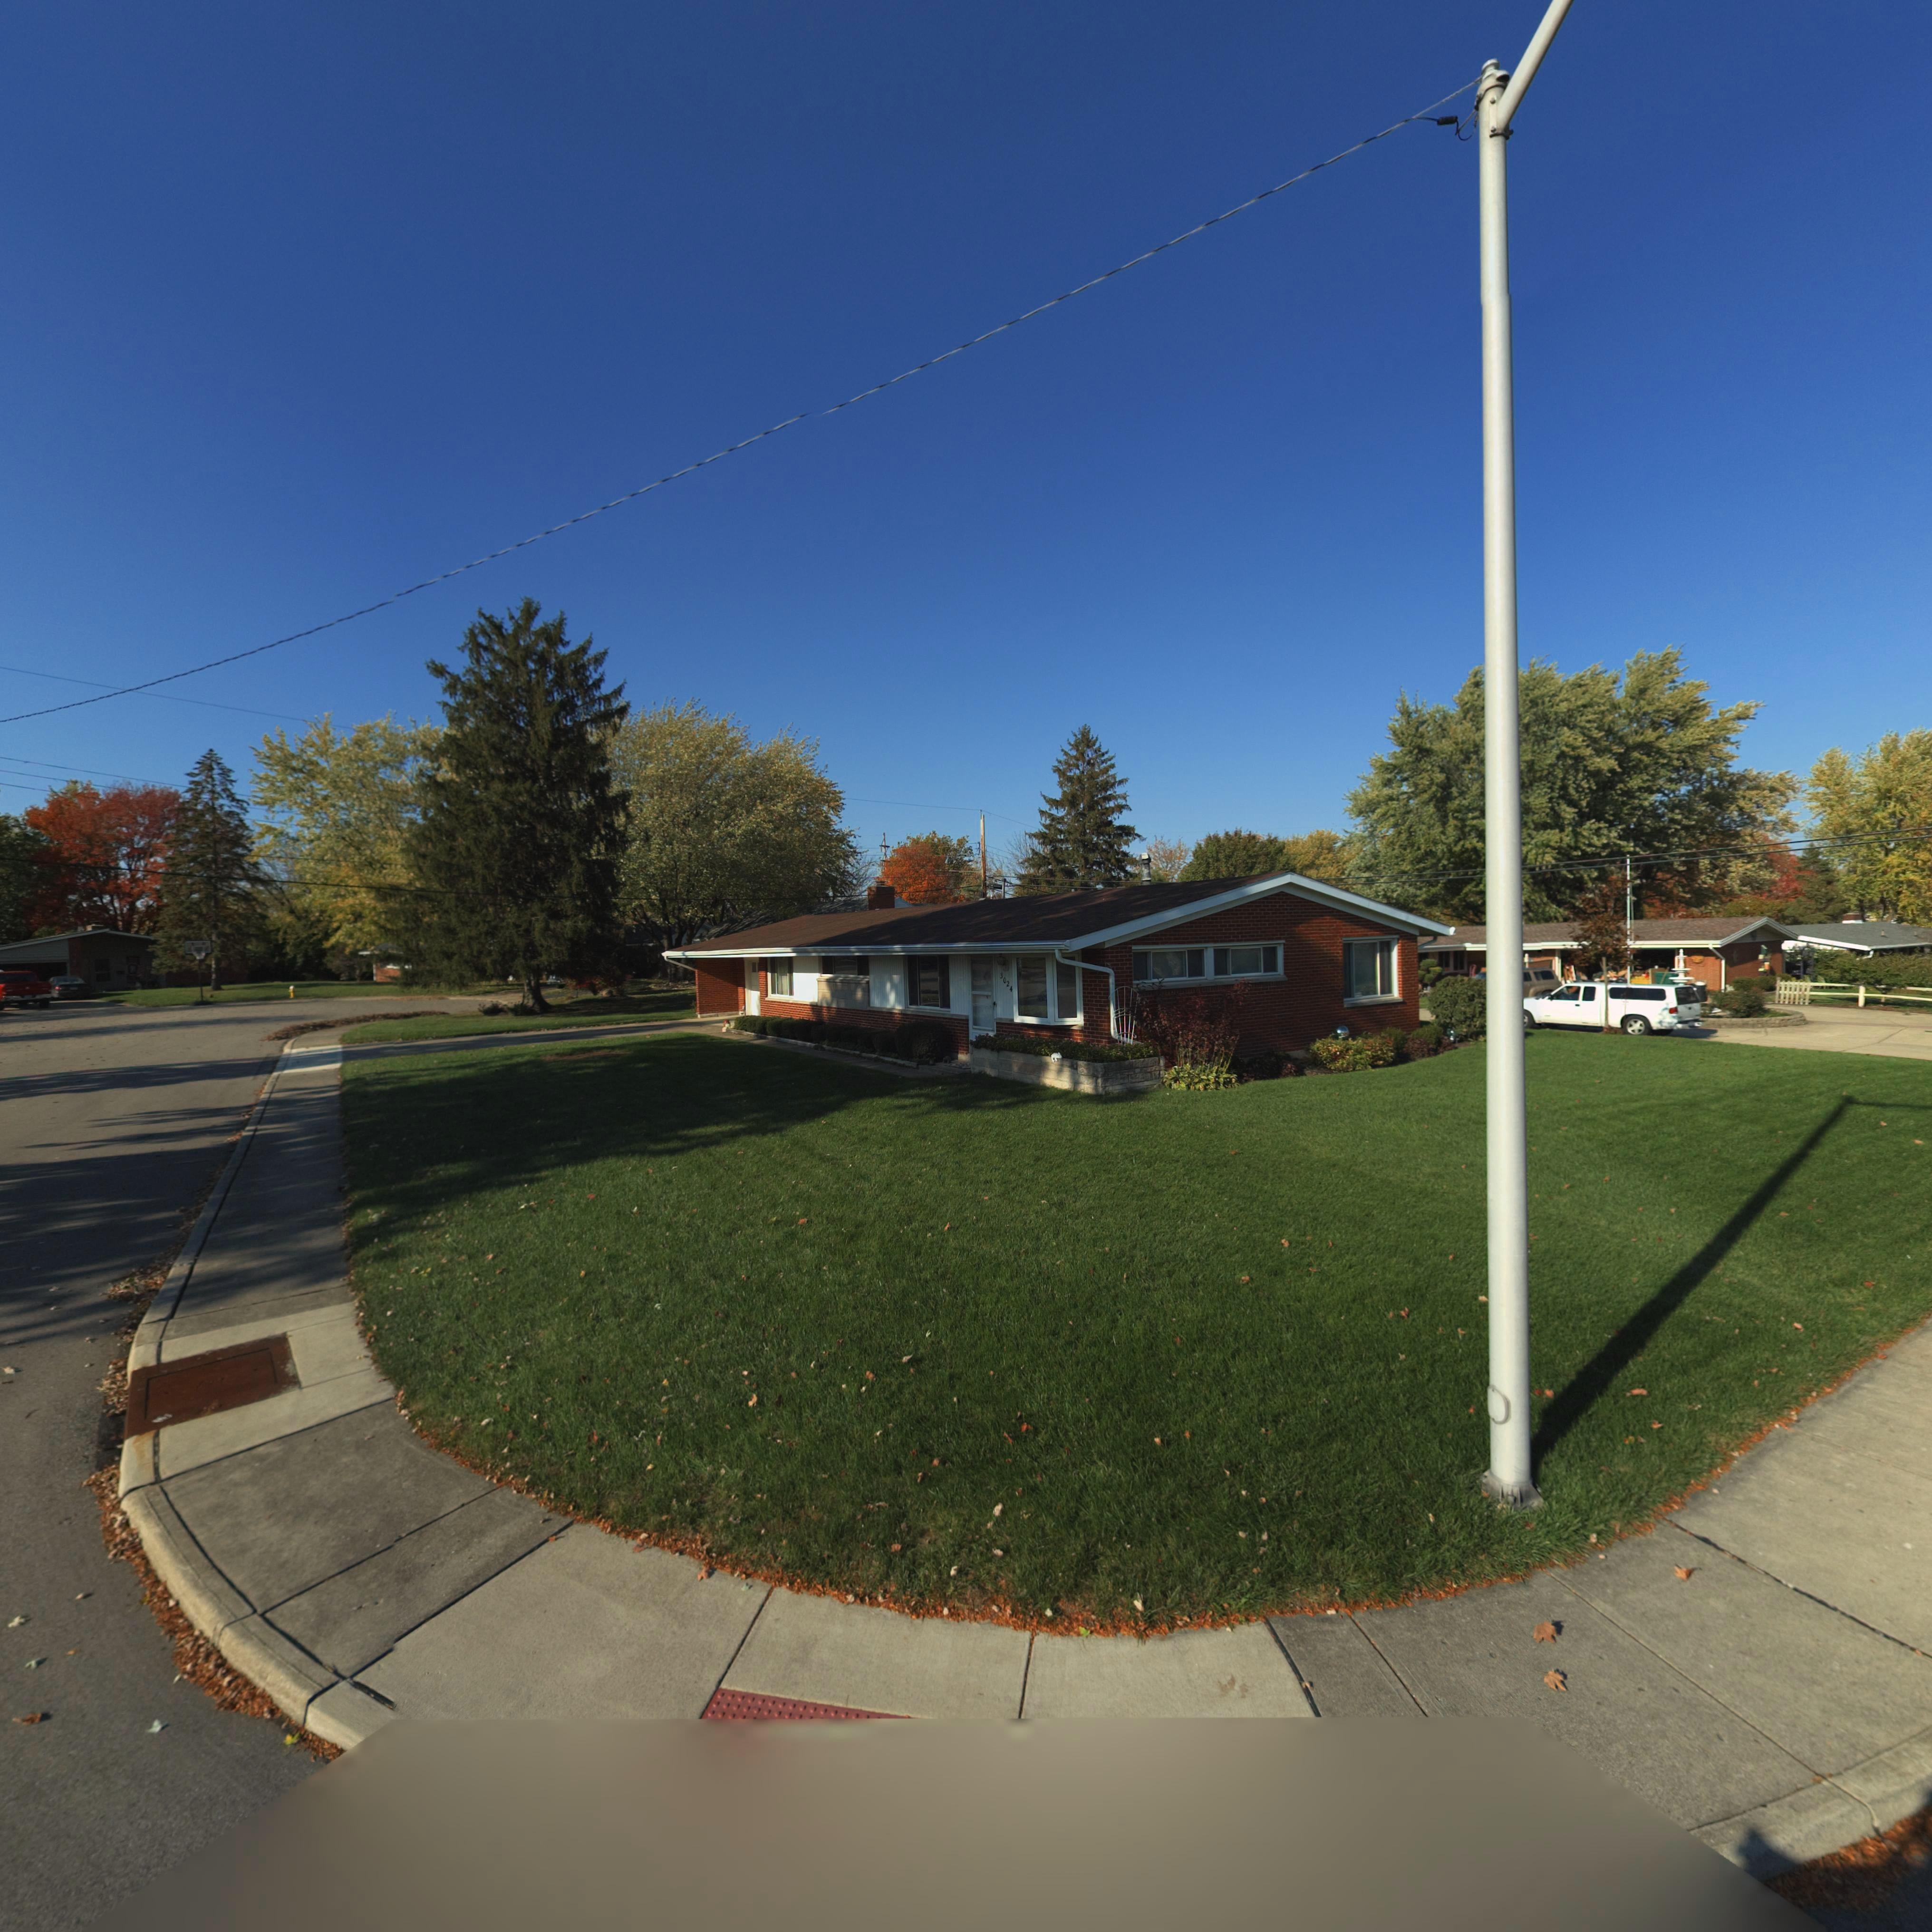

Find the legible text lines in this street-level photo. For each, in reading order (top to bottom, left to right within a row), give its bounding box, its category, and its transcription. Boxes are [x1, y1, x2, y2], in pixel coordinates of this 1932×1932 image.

[999, 971, 1014, 994] StreetNumber: 3024